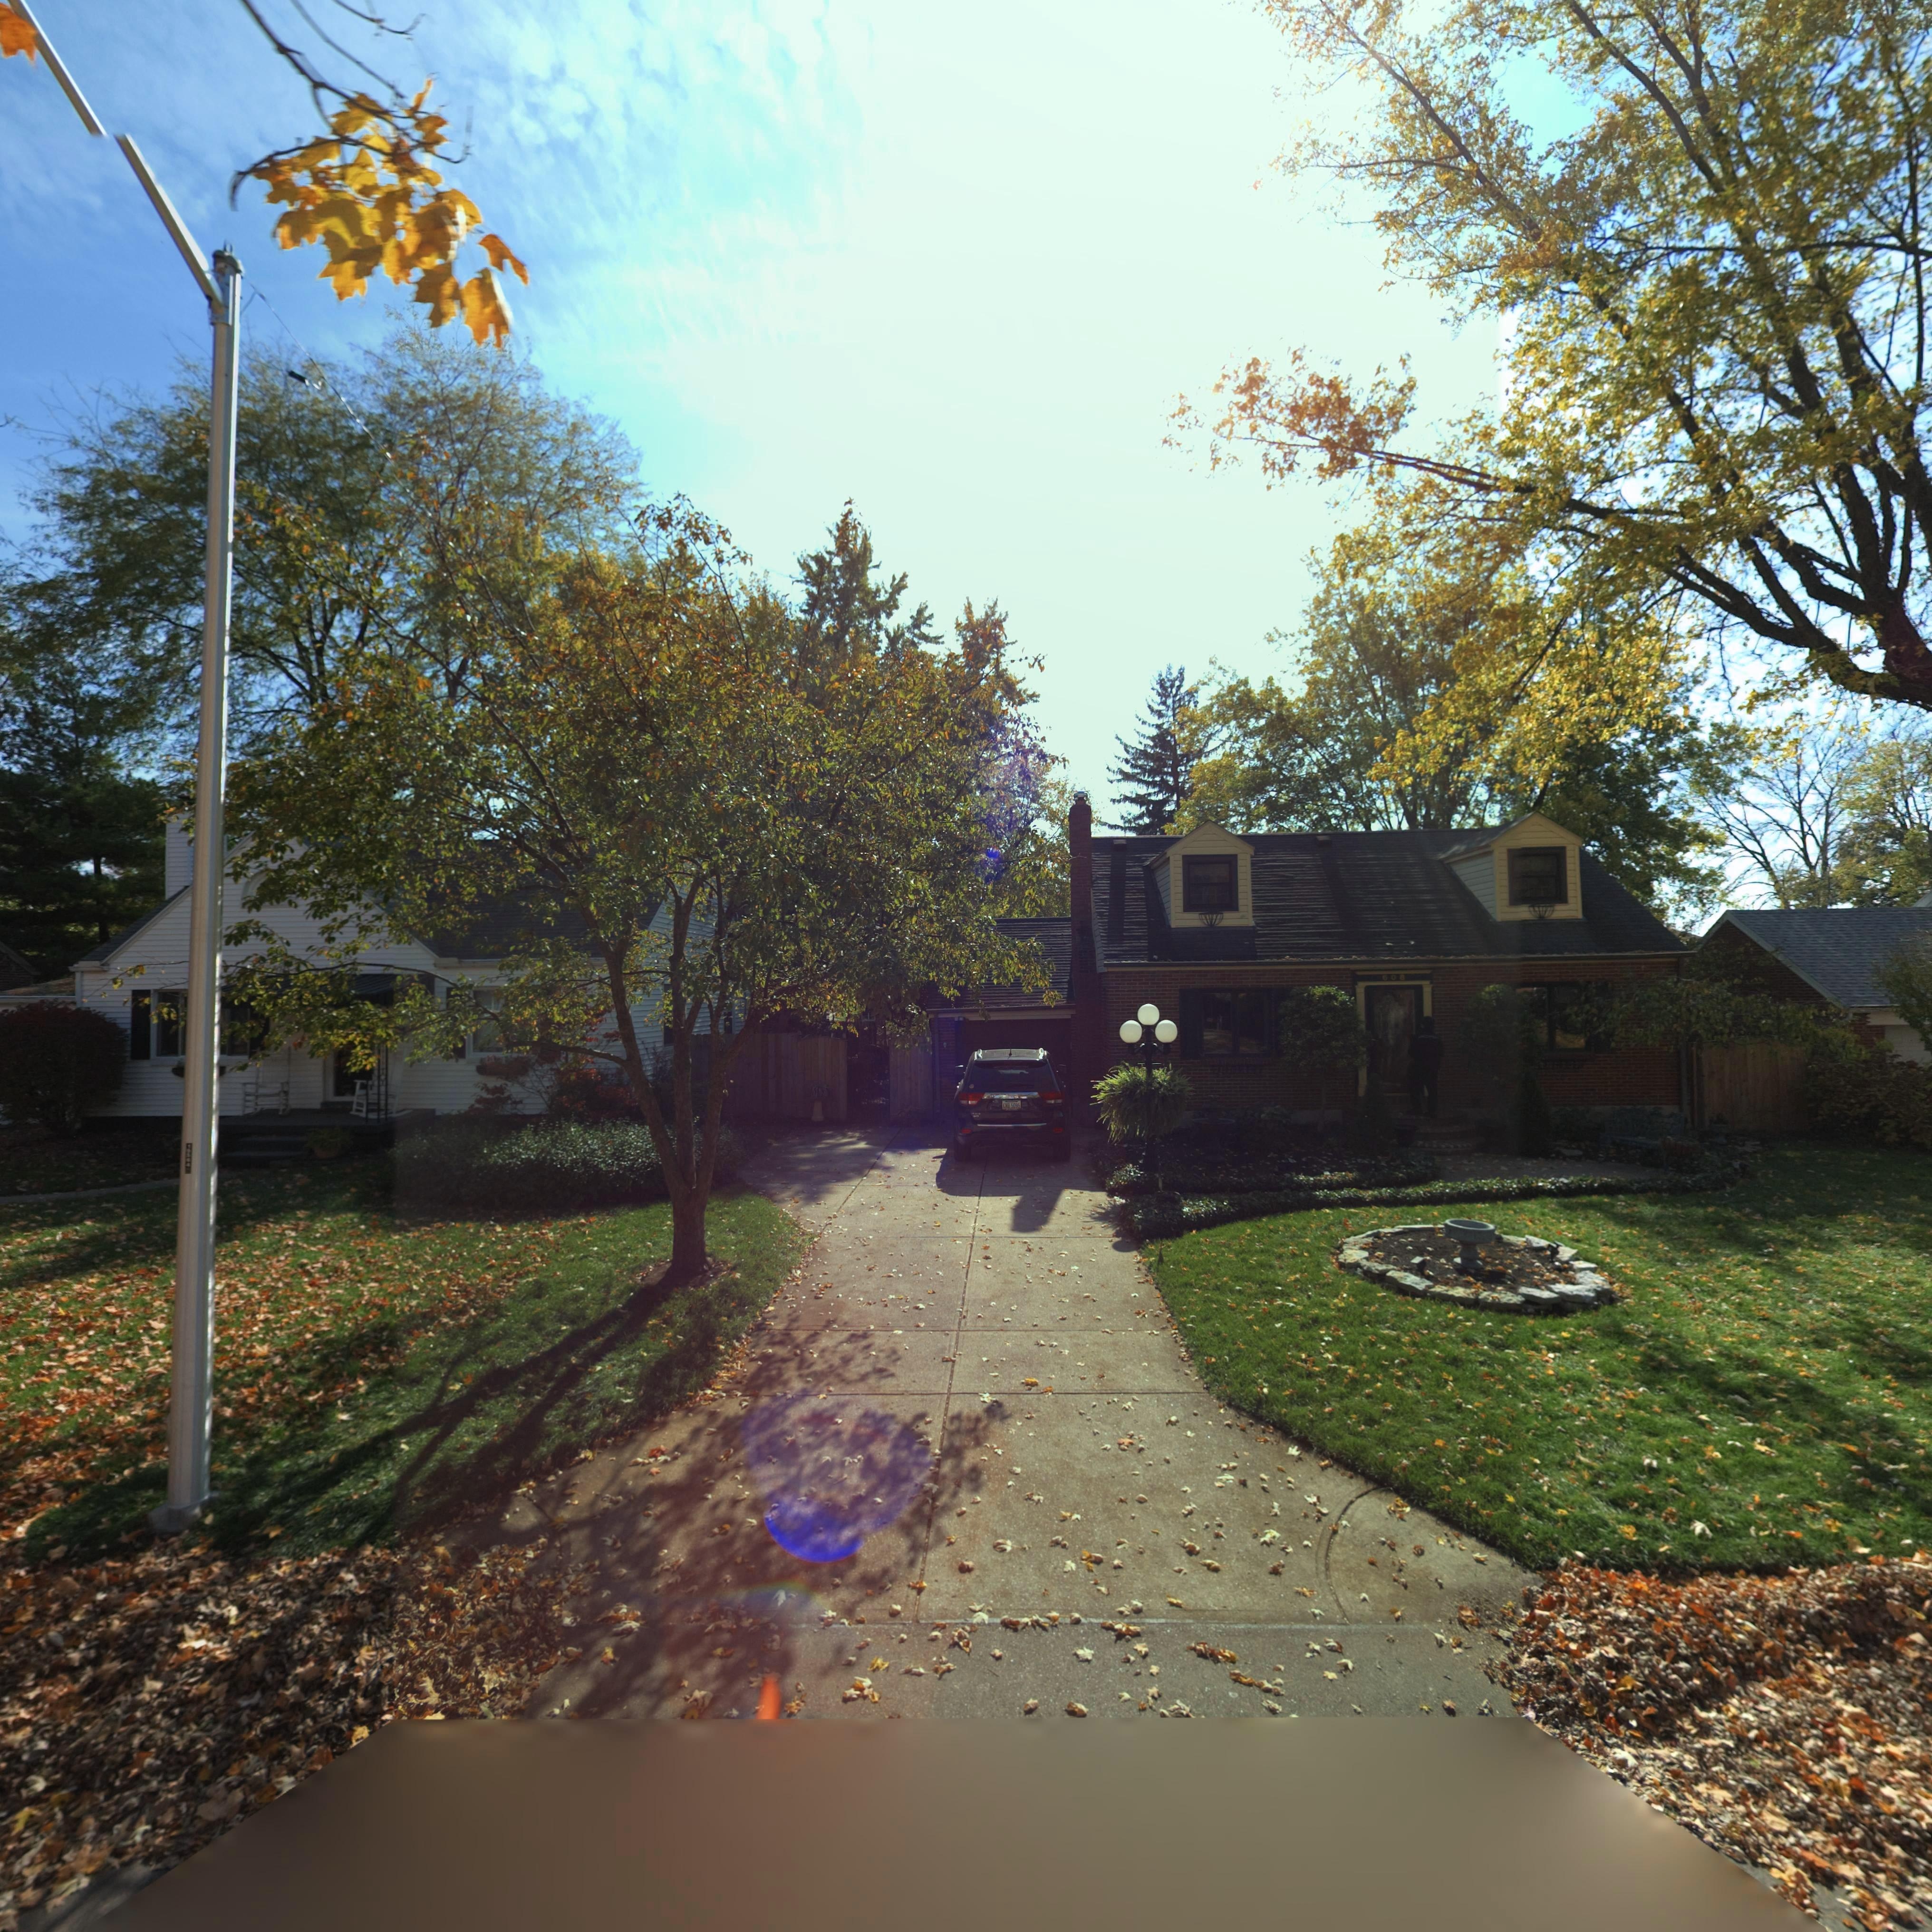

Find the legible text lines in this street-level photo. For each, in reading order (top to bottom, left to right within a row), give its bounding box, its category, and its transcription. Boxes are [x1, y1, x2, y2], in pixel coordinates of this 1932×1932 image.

[1381, 974, 1405, 981] StreetNumber: 608
[1003, 1102, 1020, 1109] None: CNB*5035
[185, 1143, 192, 1168] None: 1***4